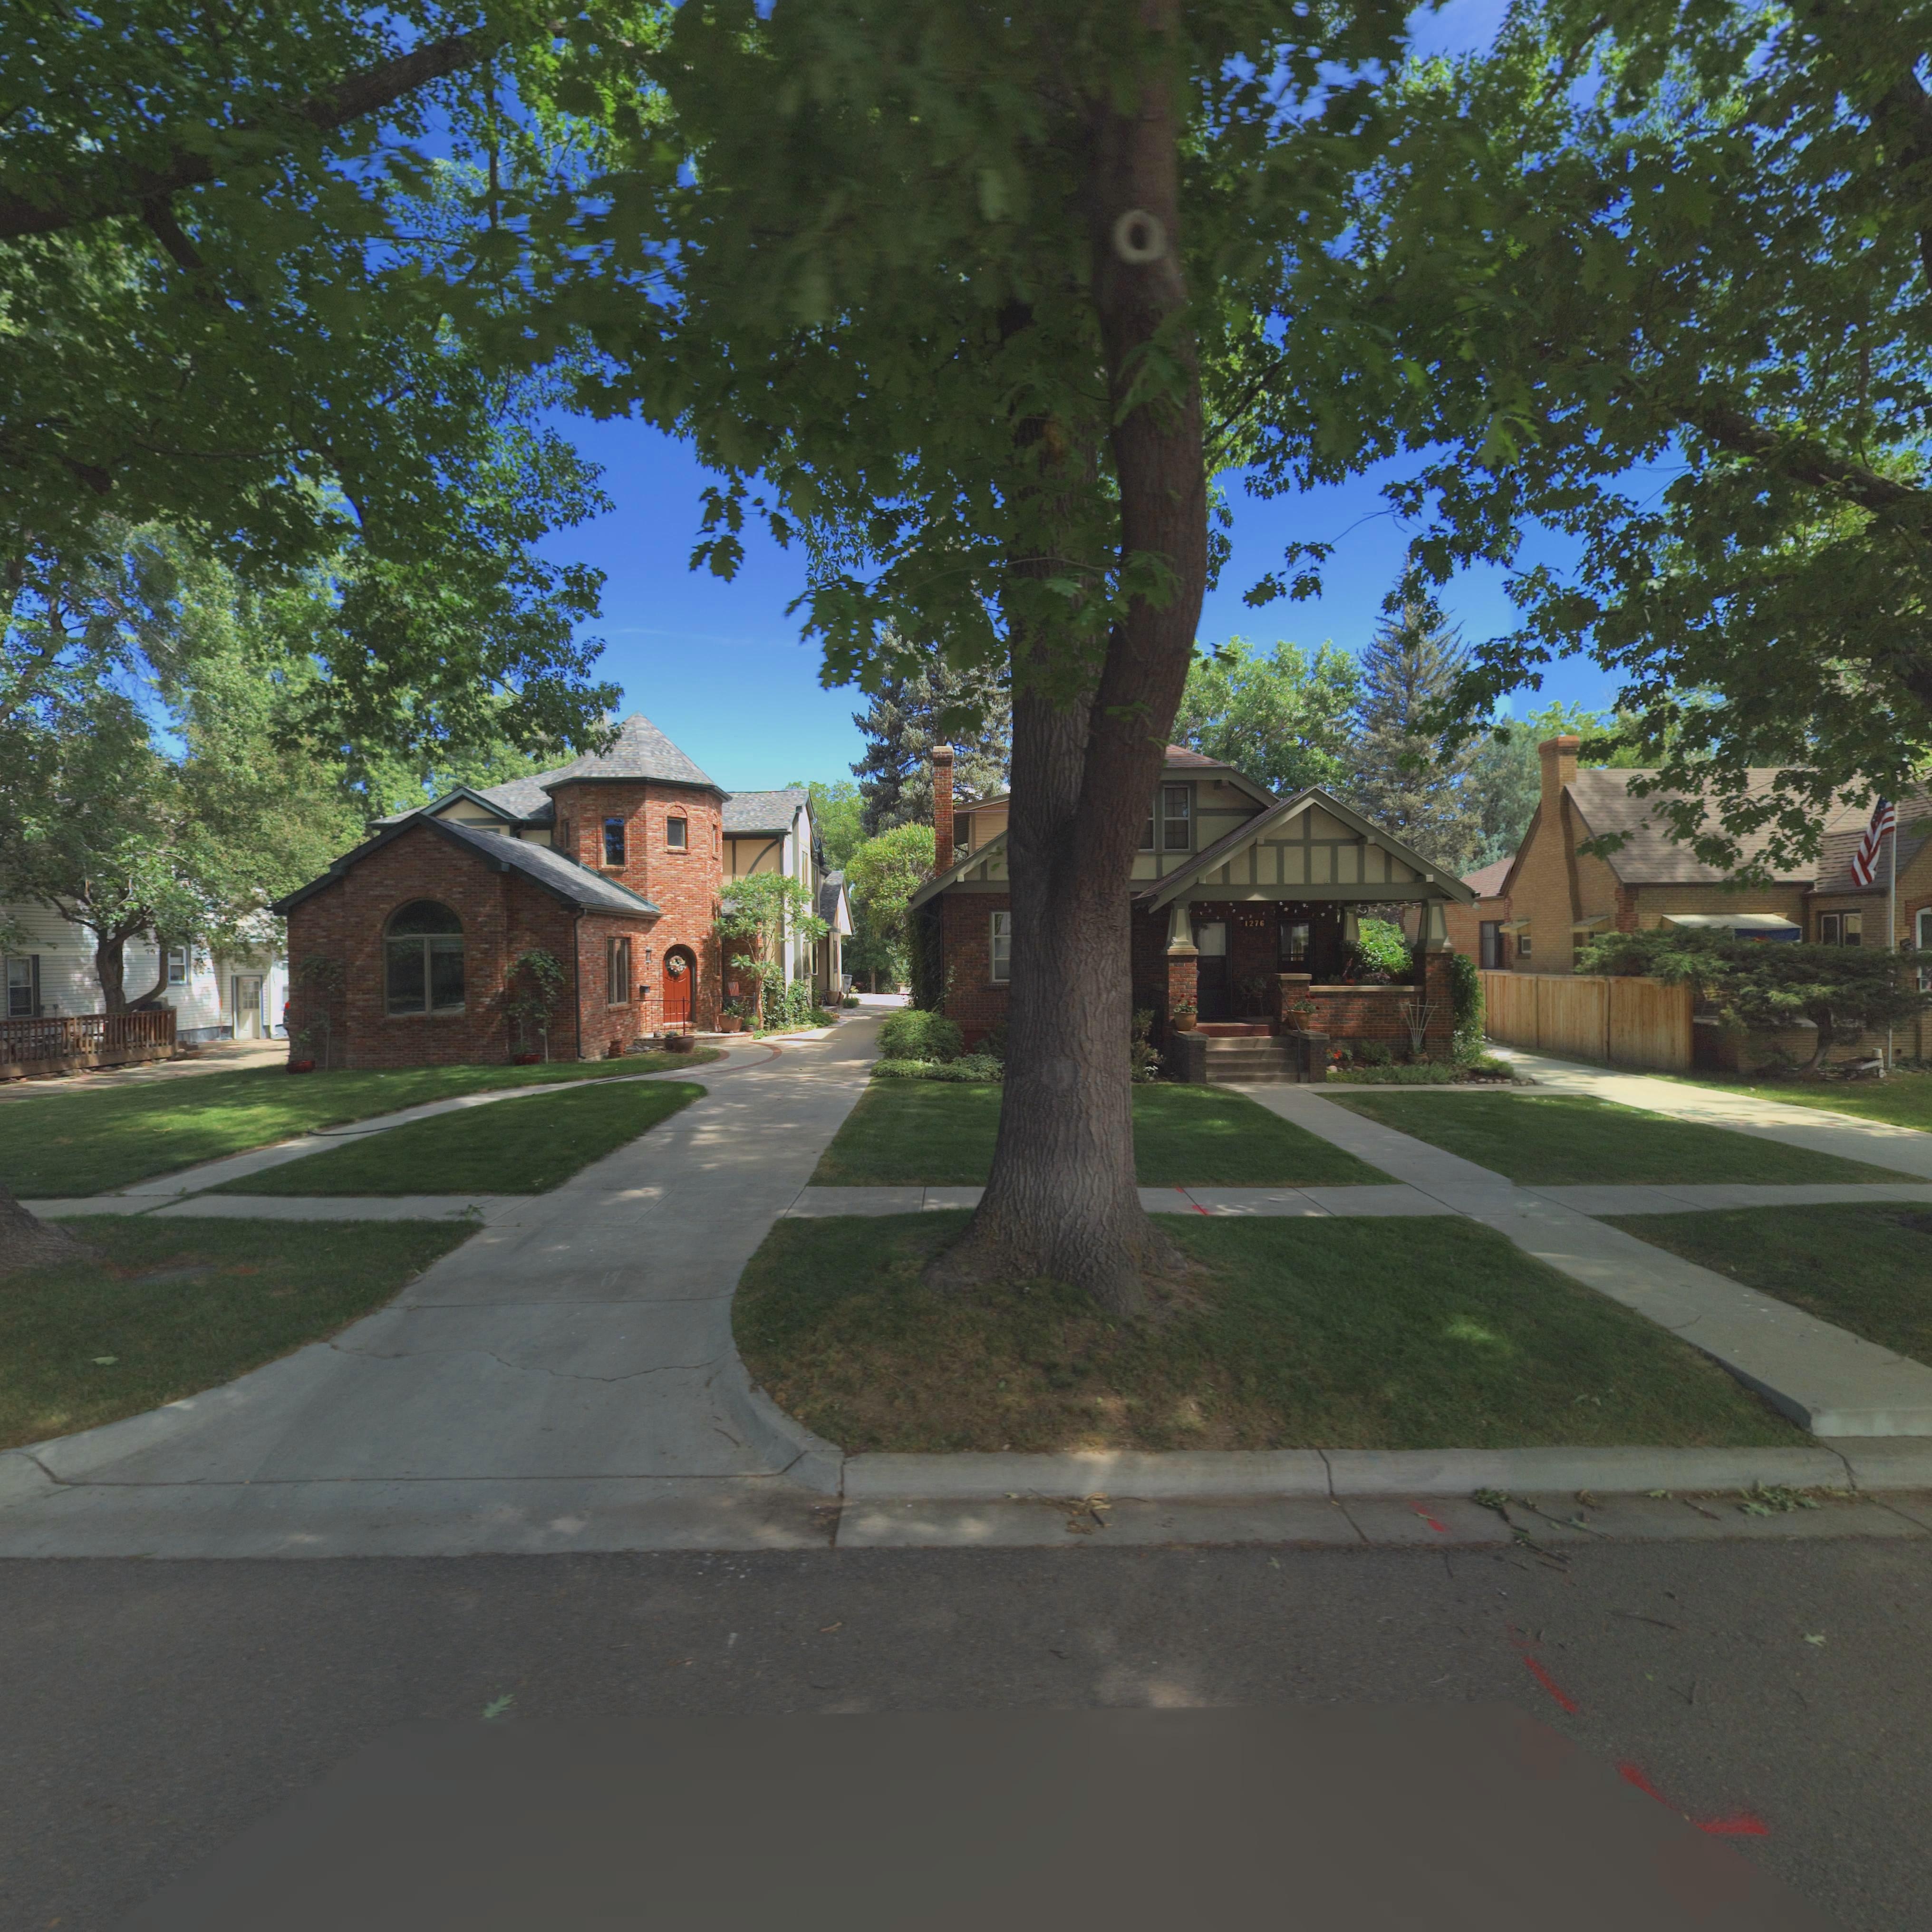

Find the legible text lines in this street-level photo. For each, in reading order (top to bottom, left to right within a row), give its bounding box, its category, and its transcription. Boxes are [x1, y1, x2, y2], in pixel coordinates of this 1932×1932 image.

[1245, 920, 1264, 926] StreetNumber: 1276